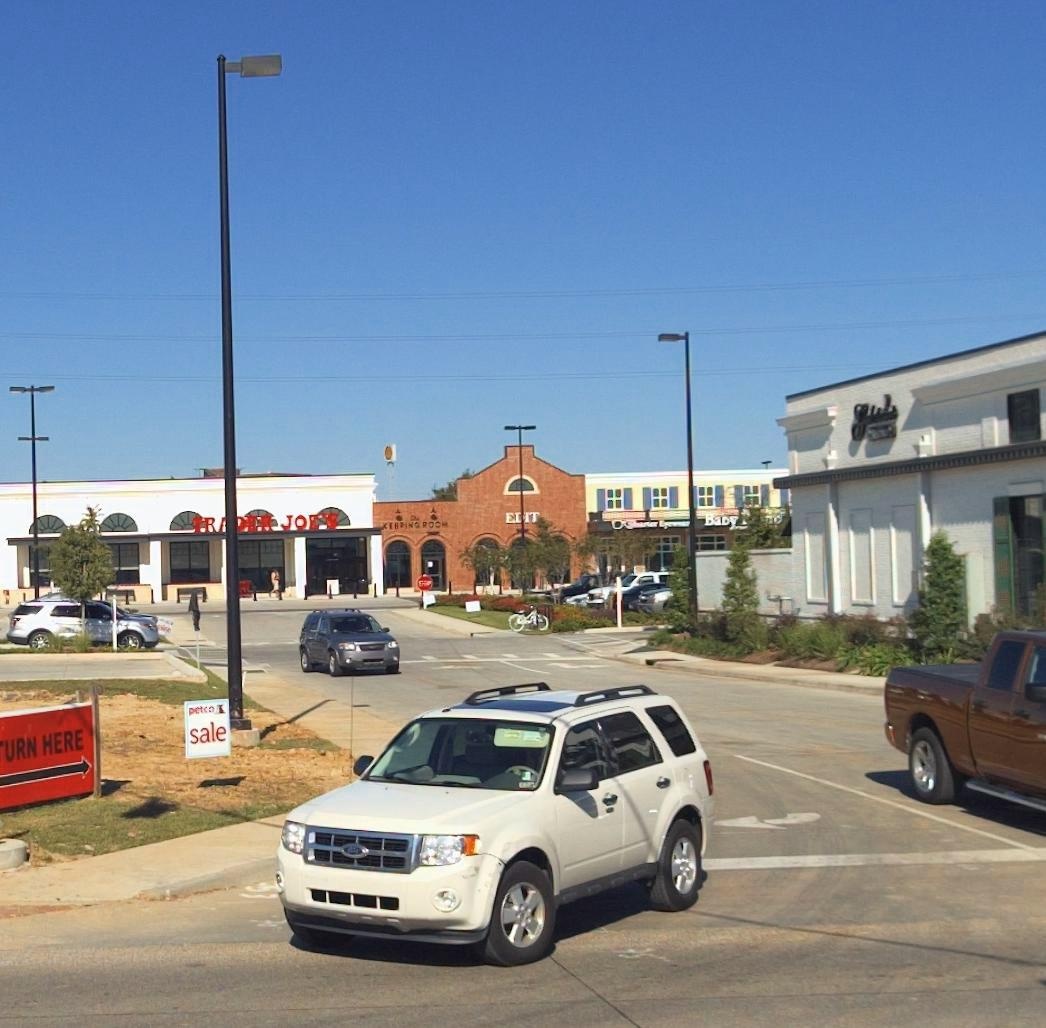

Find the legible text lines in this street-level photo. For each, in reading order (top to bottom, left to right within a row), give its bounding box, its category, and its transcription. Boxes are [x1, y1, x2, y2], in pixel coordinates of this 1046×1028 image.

[191, 512, 340, 533] BusinessName: TR**ER JOE'S
[421, 520, 450, 530] None: ROOM
[505, 511, 542, 525] BusinessName: E*IT
[704, 512, 740, 530] BusinessName: Baby
[188, 703, 216, 717] None: petco
[189, 720, 227, 746] None: sale
[4, 727, 85, 763] None: URN HERE